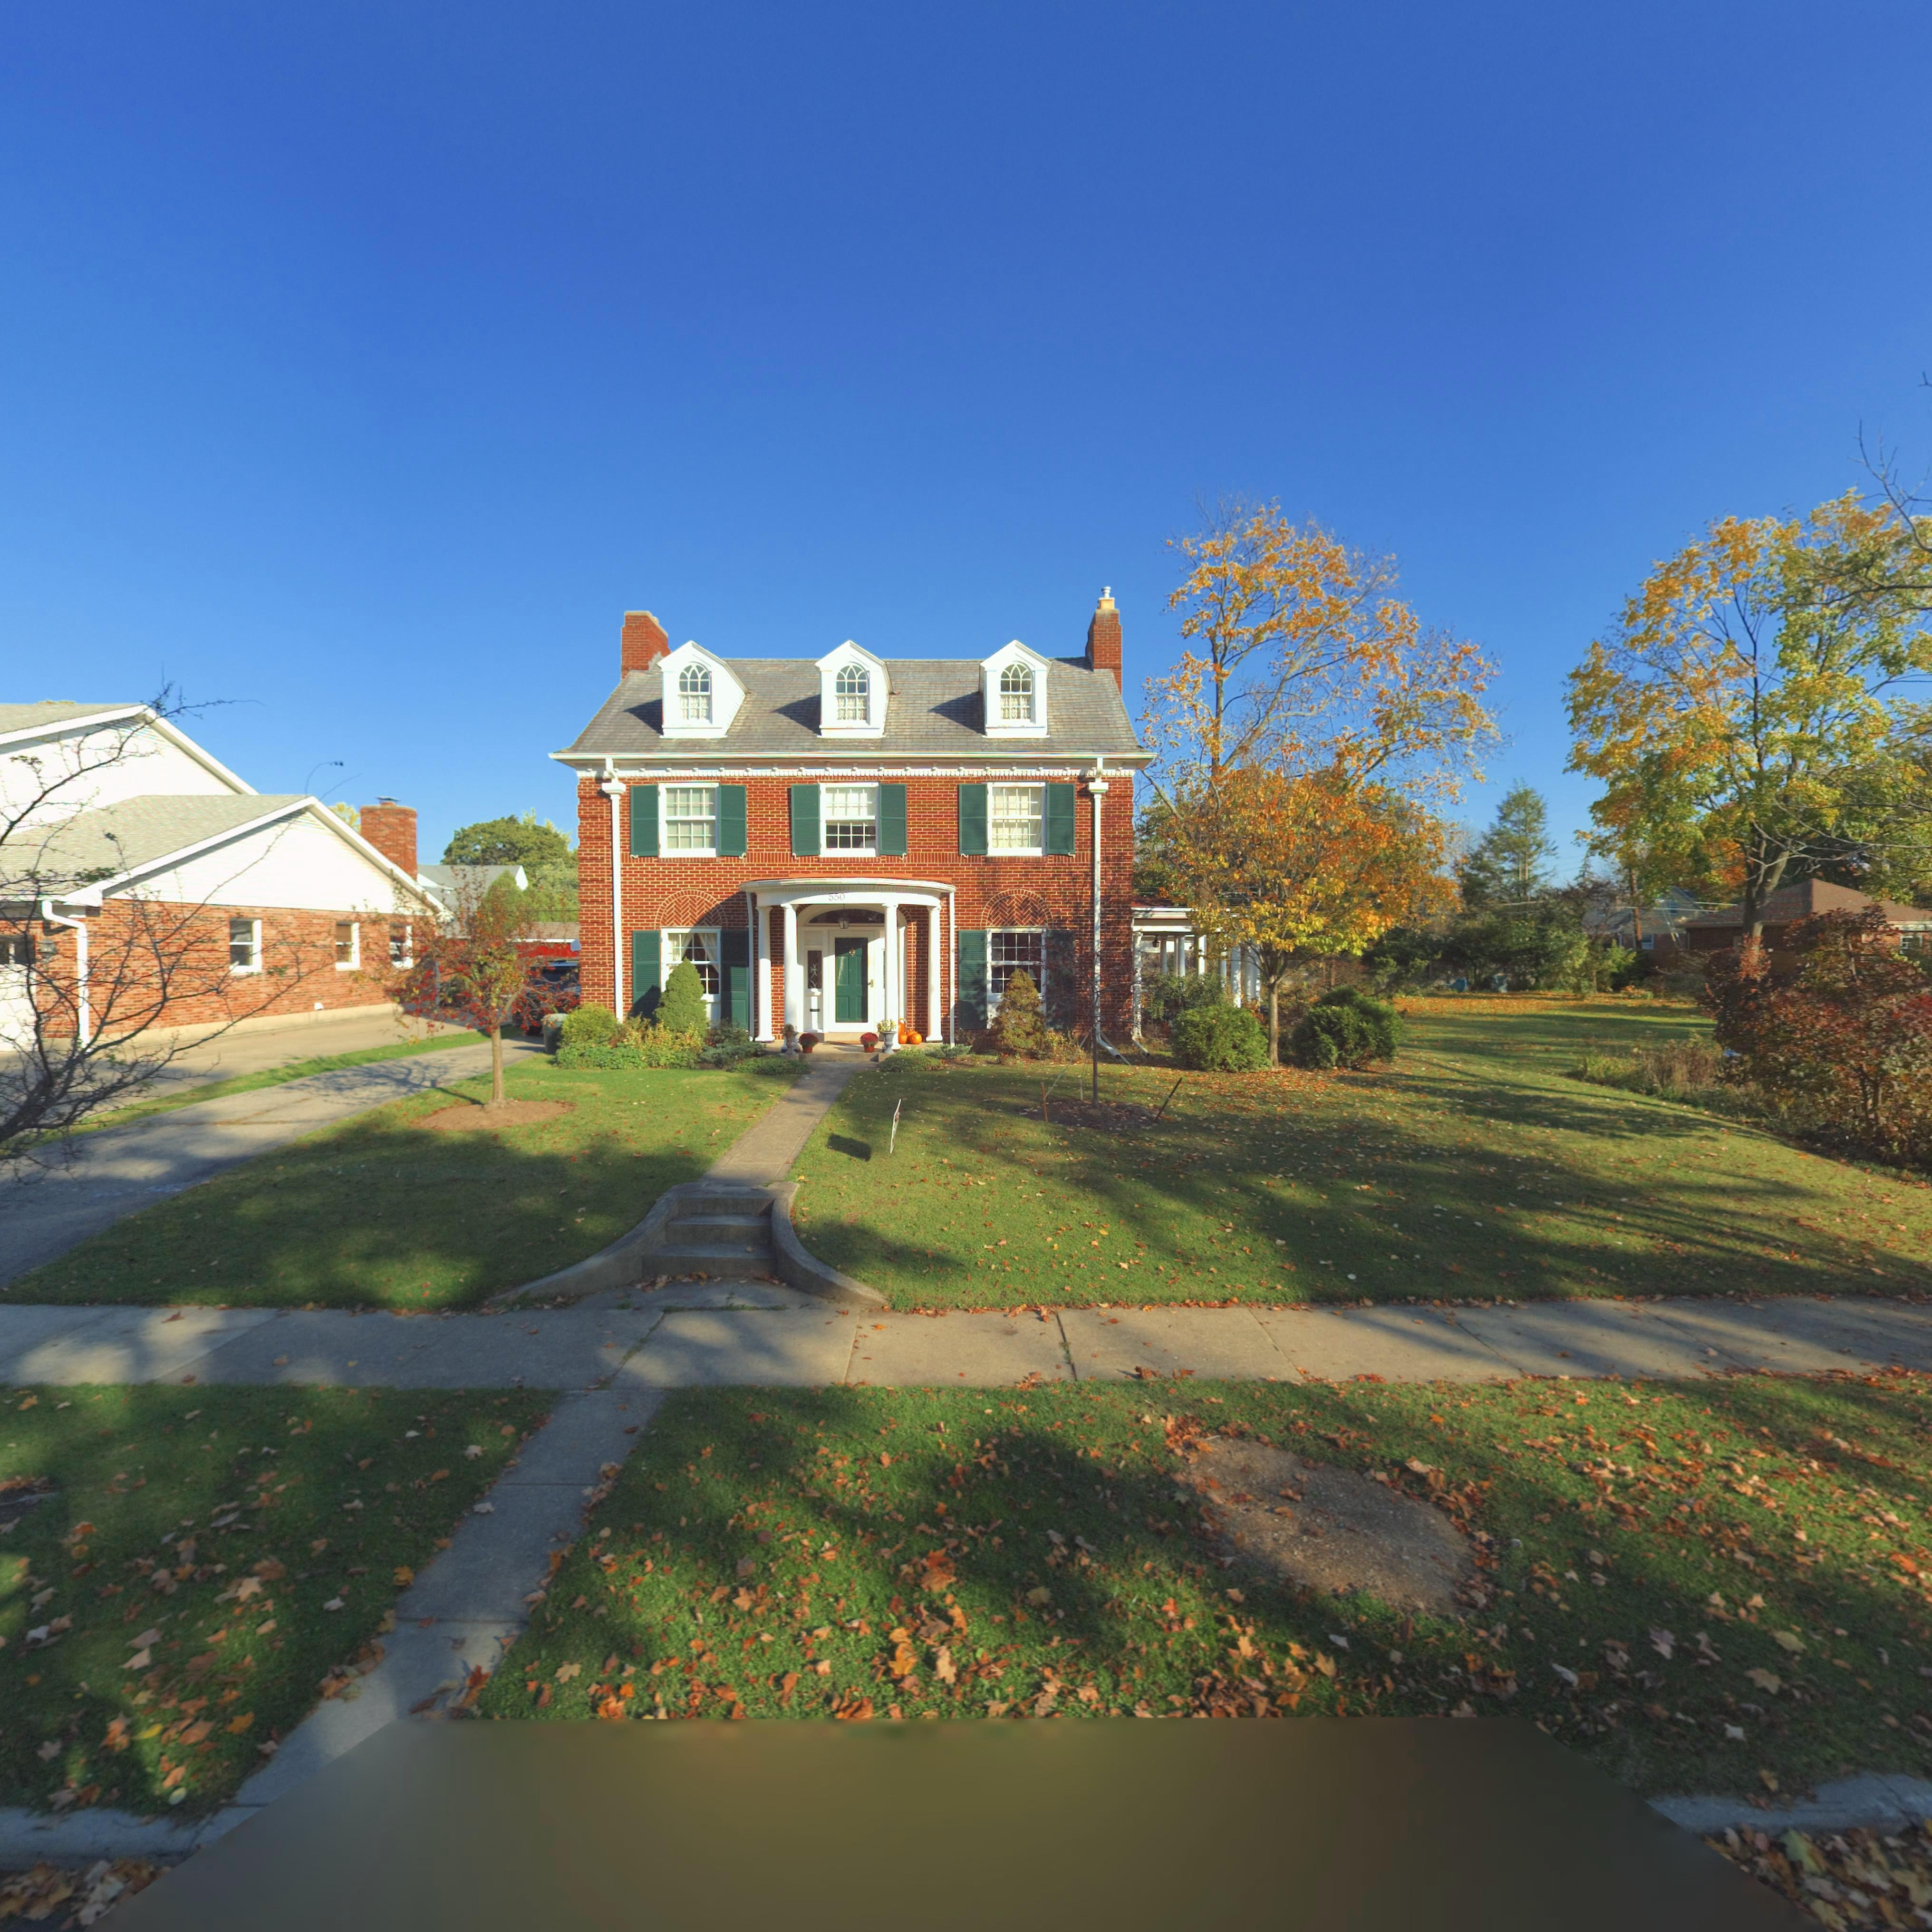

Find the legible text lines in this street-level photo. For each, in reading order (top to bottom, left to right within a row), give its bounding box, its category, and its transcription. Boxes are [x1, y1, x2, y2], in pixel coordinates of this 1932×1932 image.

[828, 892, 846, 902] StreetNumber: 550